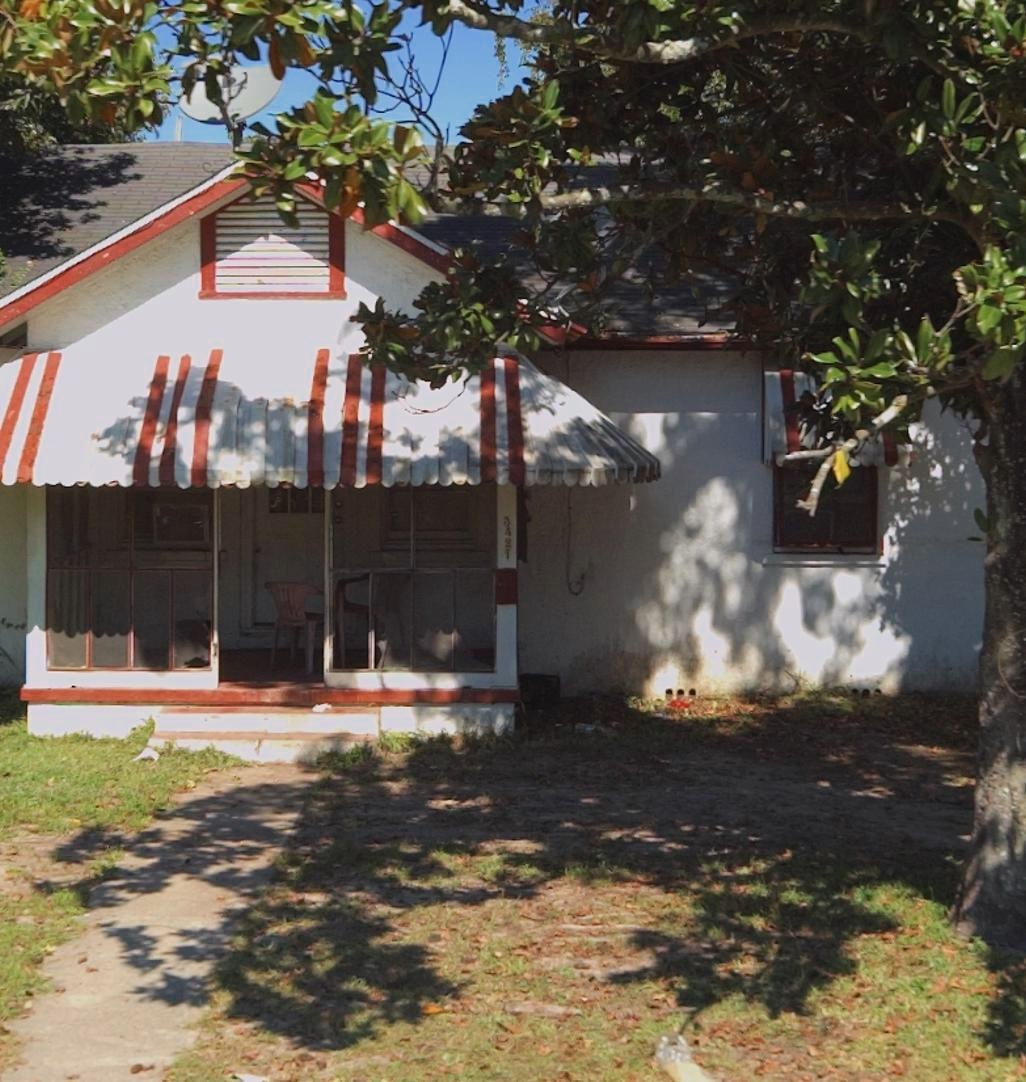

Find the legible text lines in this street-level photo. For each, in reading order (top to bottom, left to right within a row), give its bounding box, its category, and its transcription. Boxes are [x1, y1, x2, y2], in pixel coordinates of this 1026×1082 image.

[501, 514, 514, 561] StreetNumber: 3421